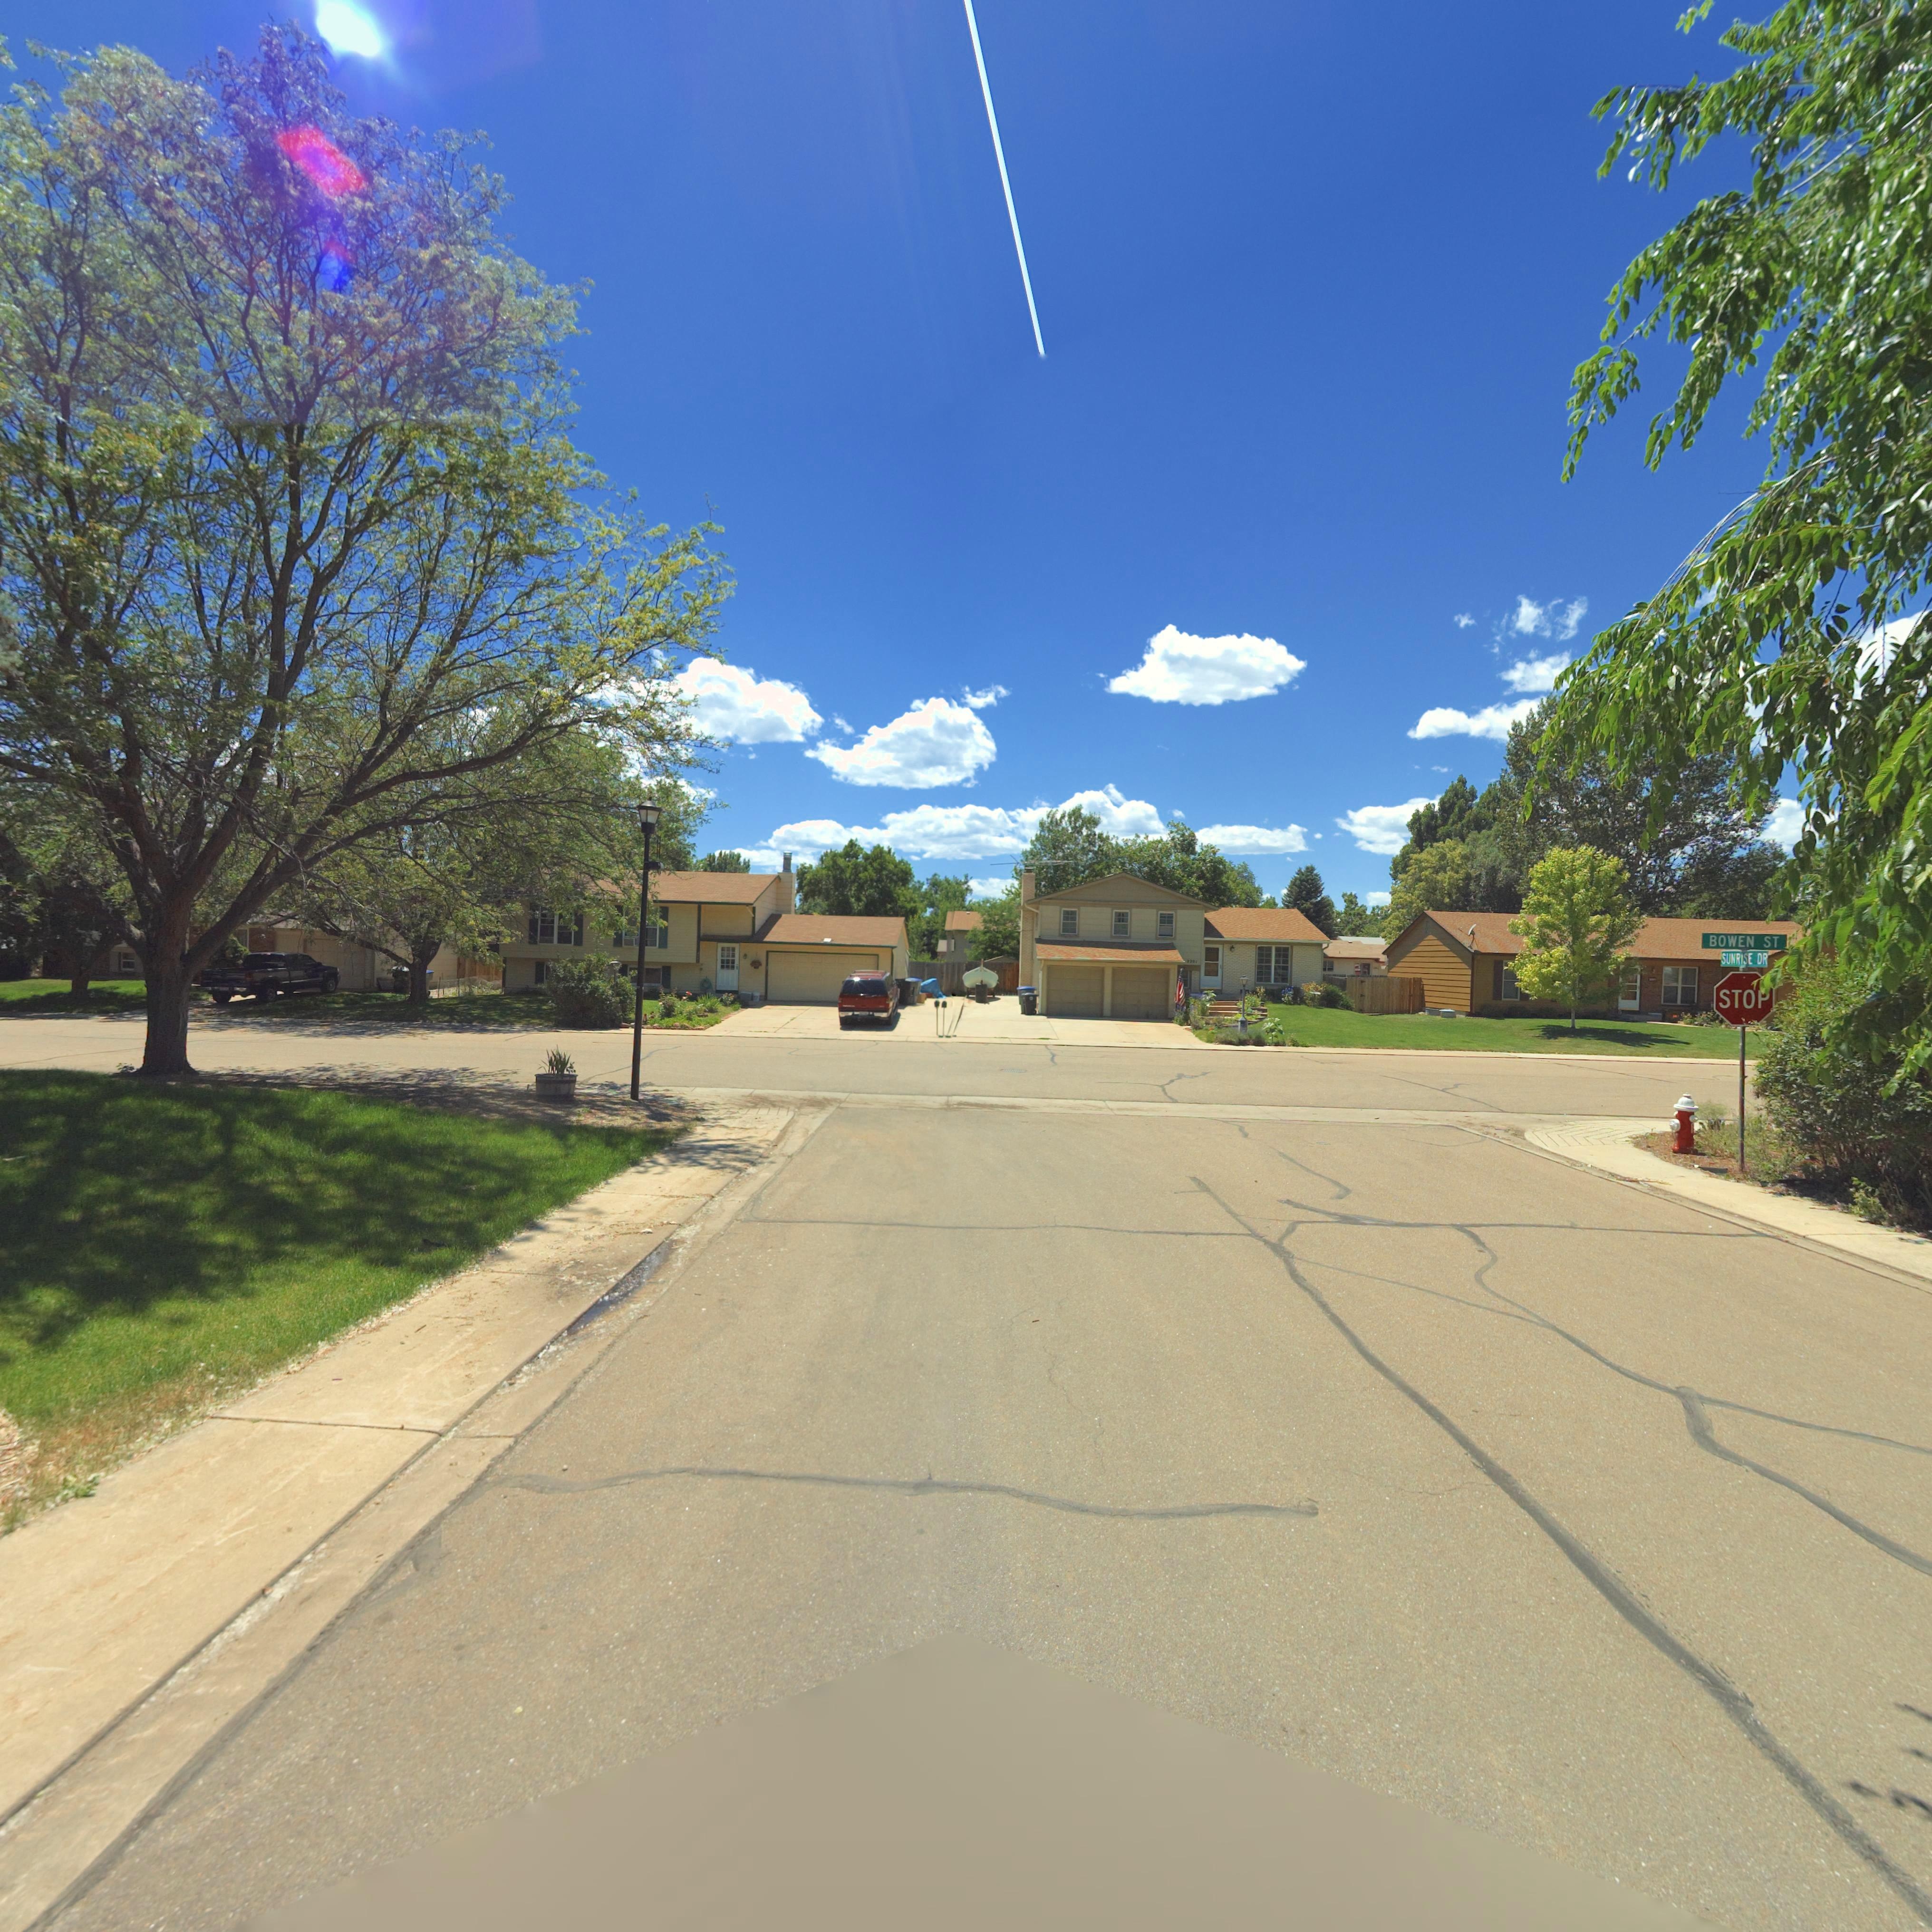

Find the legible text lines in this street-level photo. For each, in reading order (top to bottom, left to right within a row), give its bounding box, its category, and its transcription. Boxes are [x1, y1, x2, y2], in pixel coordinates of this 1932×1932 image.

[1709, 934, 1779, 947] StreetName: BOWEN ST
[1186, 959, 1197, 963] StreetNumber: 2*01
[1720, 952, 1768, 965] StreetName: SUNRISE DR